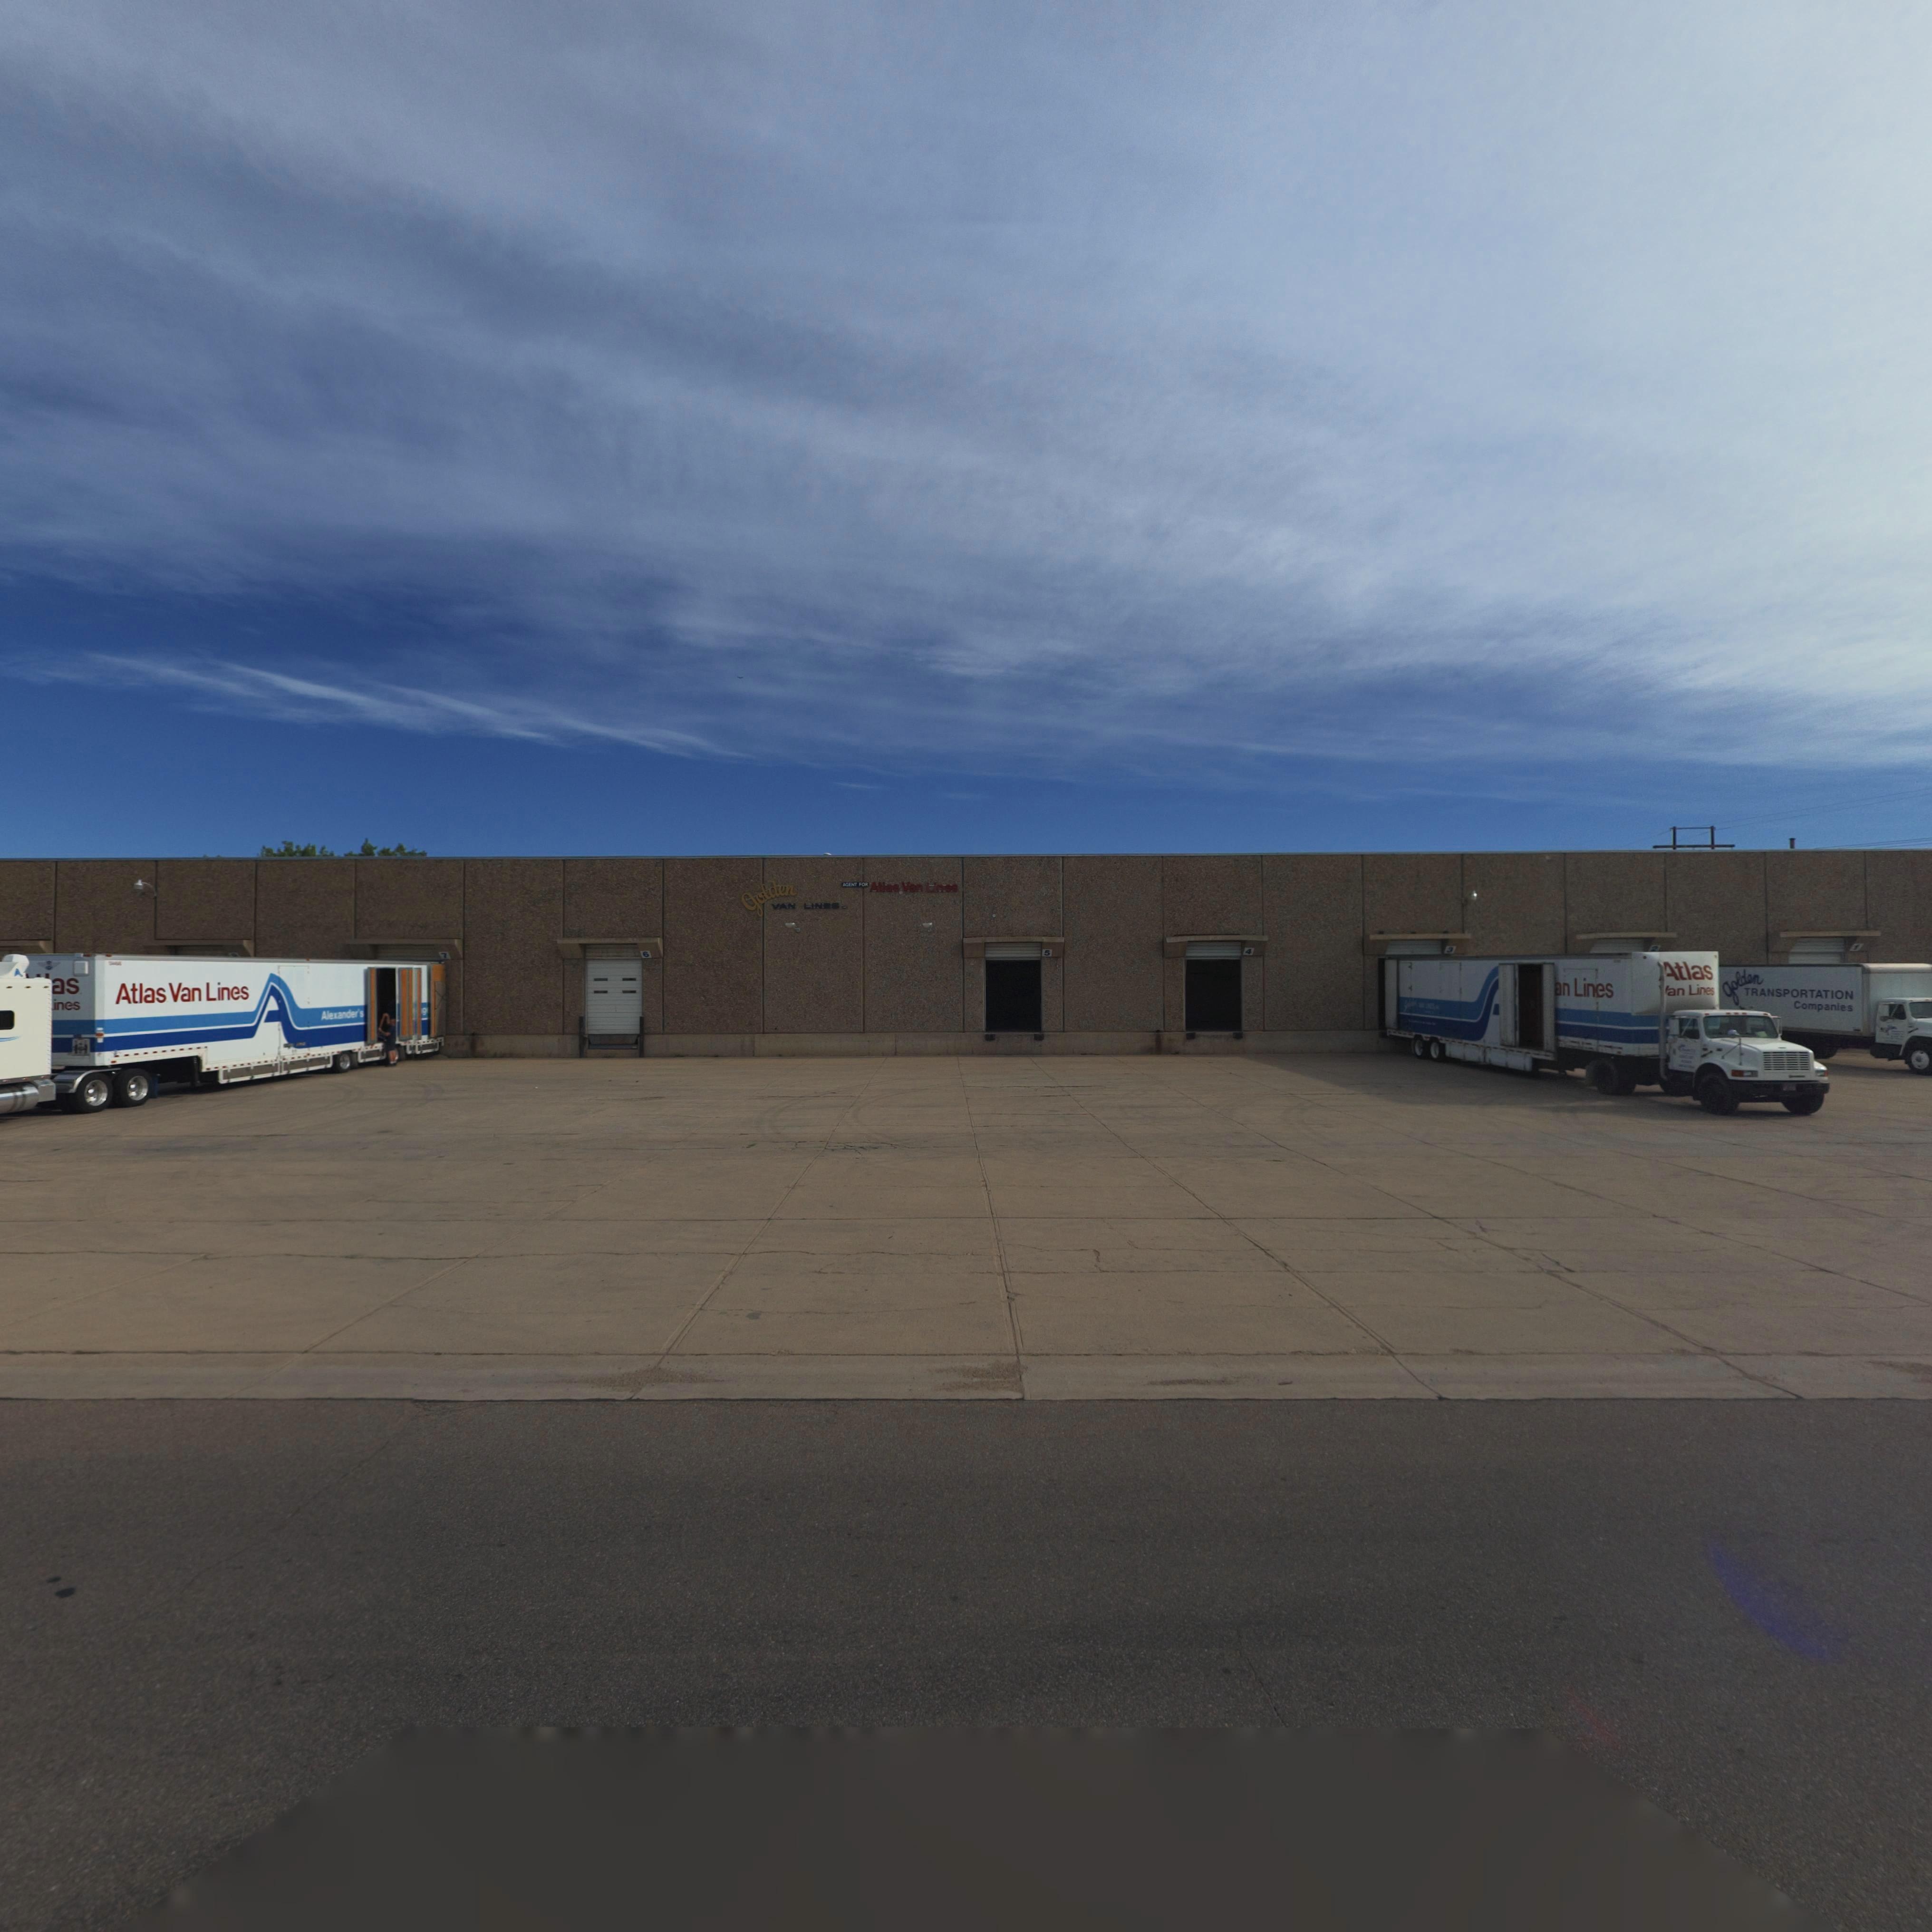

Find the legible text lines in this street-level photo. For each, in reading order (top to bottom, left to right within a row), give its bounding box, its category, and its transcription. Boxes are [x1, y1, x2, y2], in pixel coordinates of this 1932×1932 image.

[740, 880, 798, 918] BusinessName: golden
[770, 902, 839, 910] BusinessName: VAN LINES